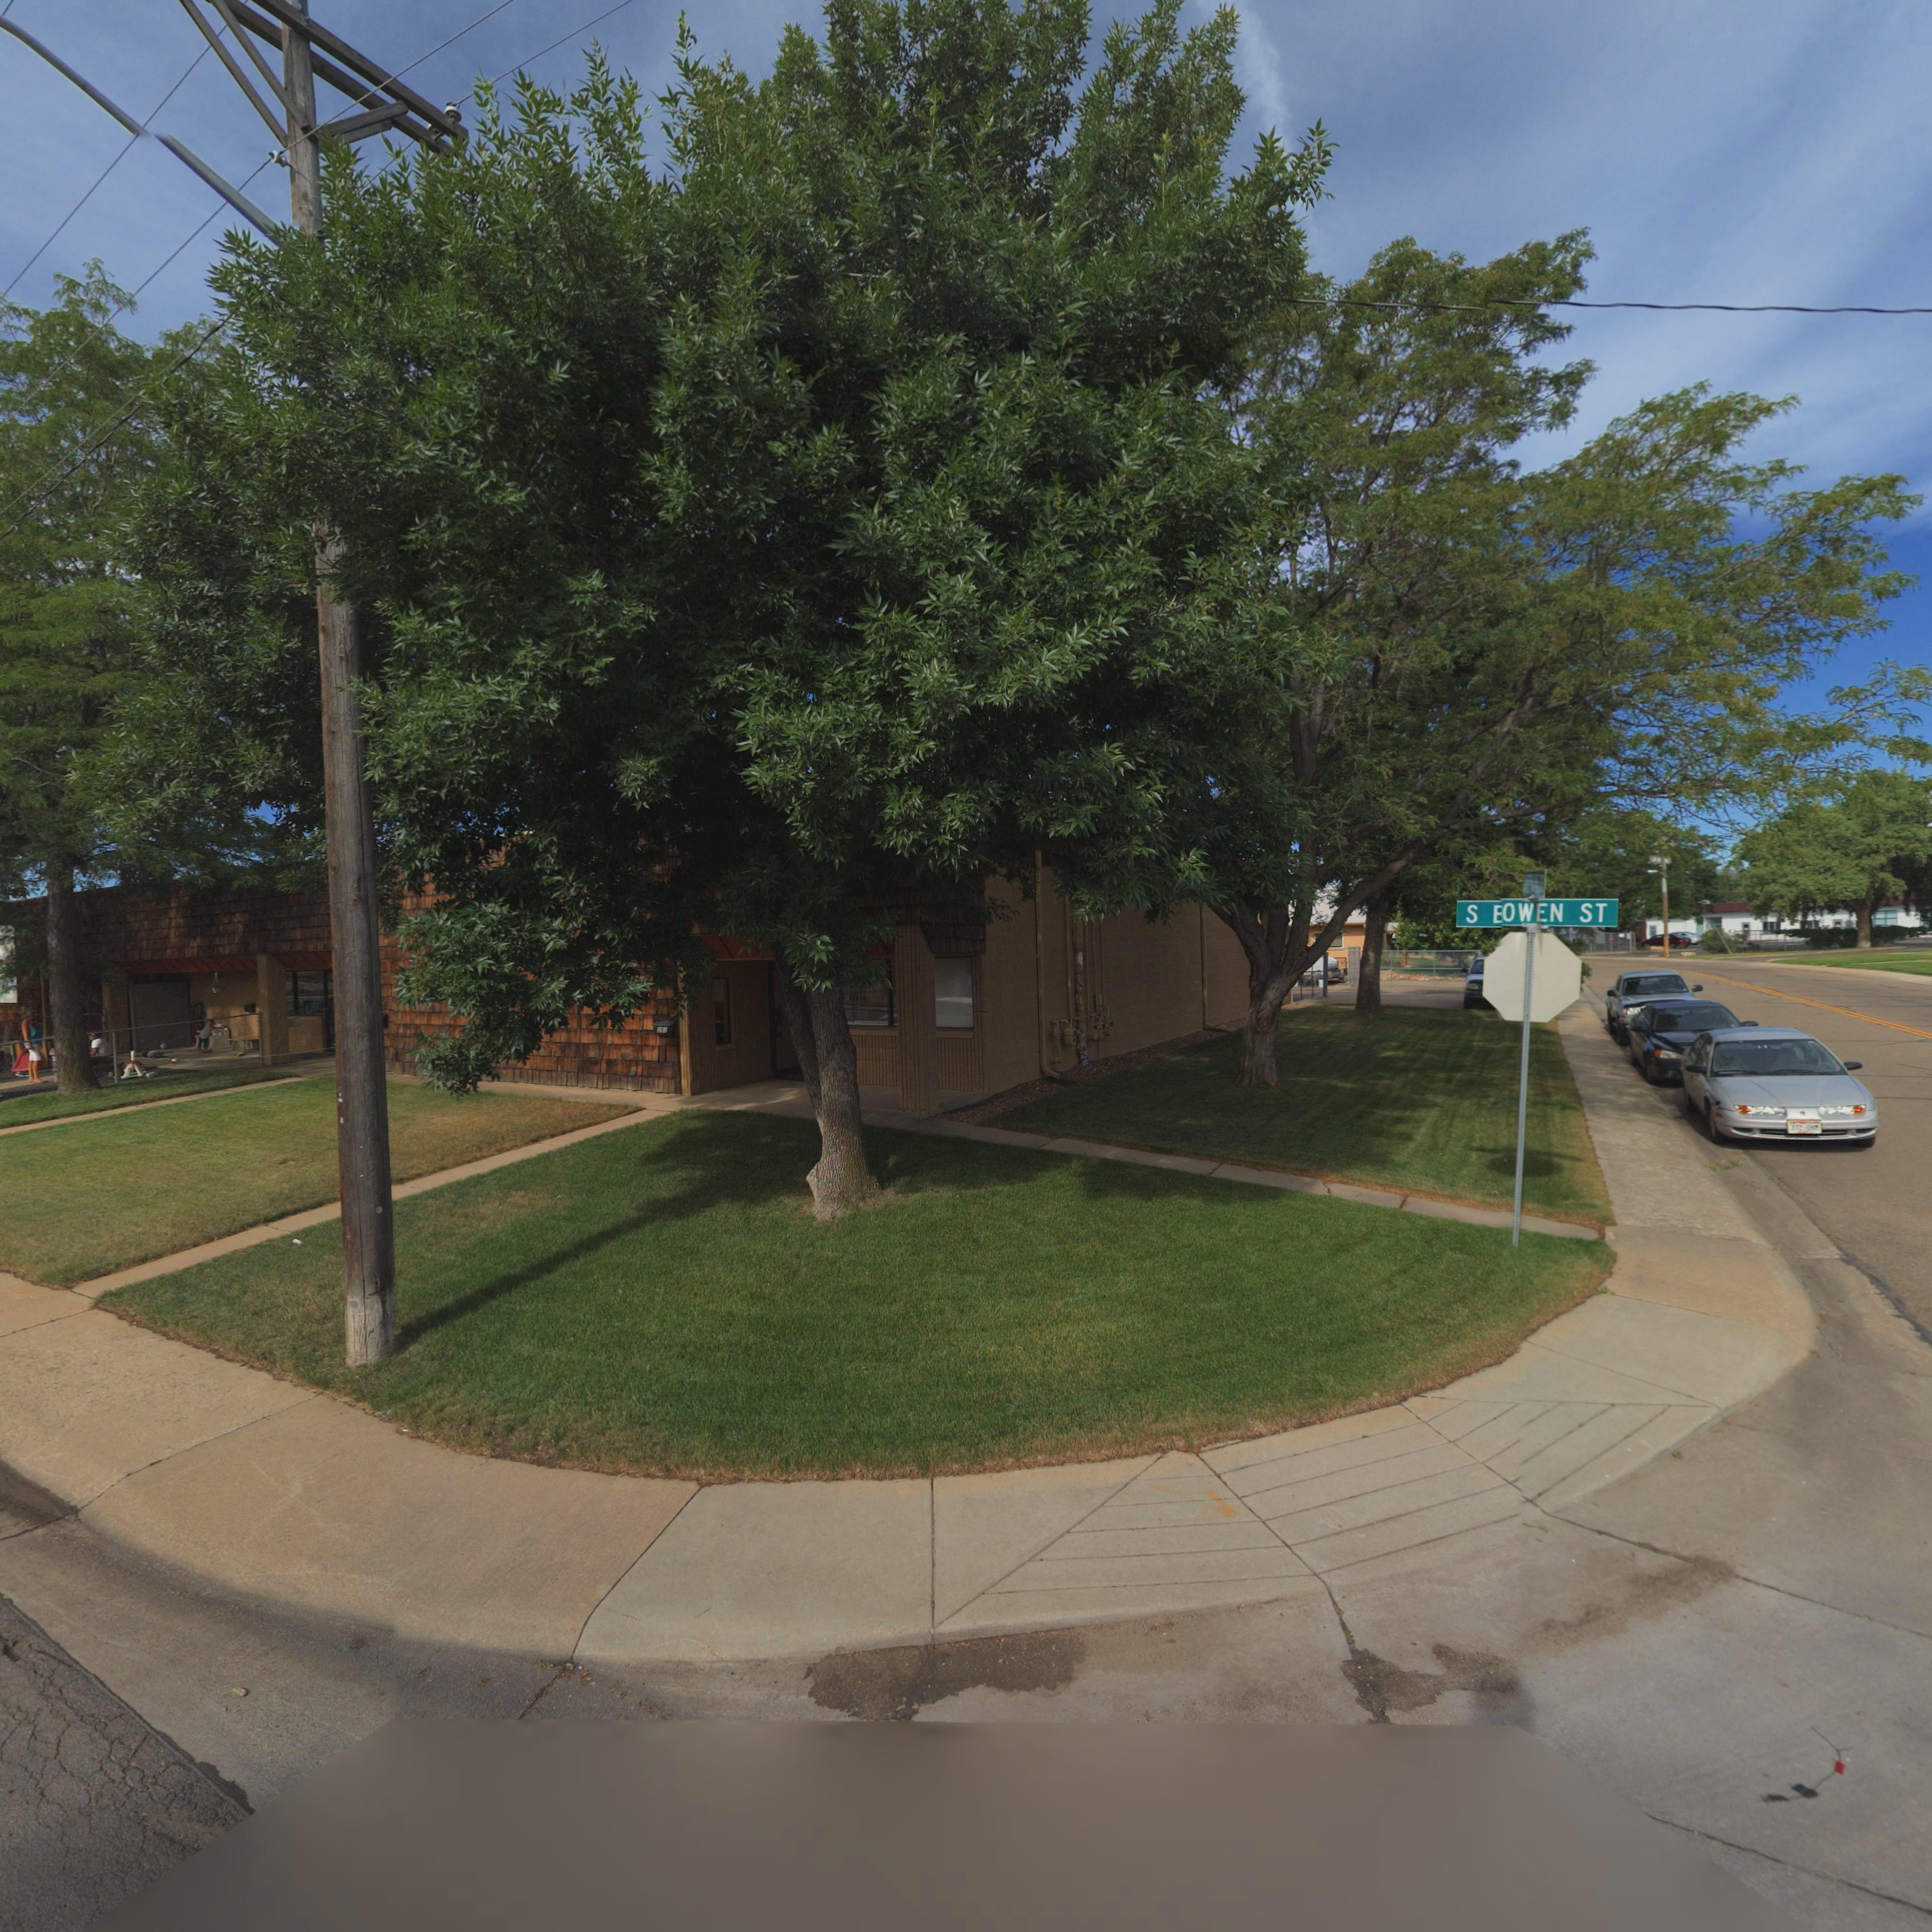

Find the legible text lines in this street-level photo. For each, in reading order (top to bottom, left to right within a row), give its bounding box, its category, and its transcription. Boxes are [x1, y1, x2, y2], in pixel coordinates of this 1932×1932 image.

[1464, 900, 1610, 925] StreetName: S *OWEN ST